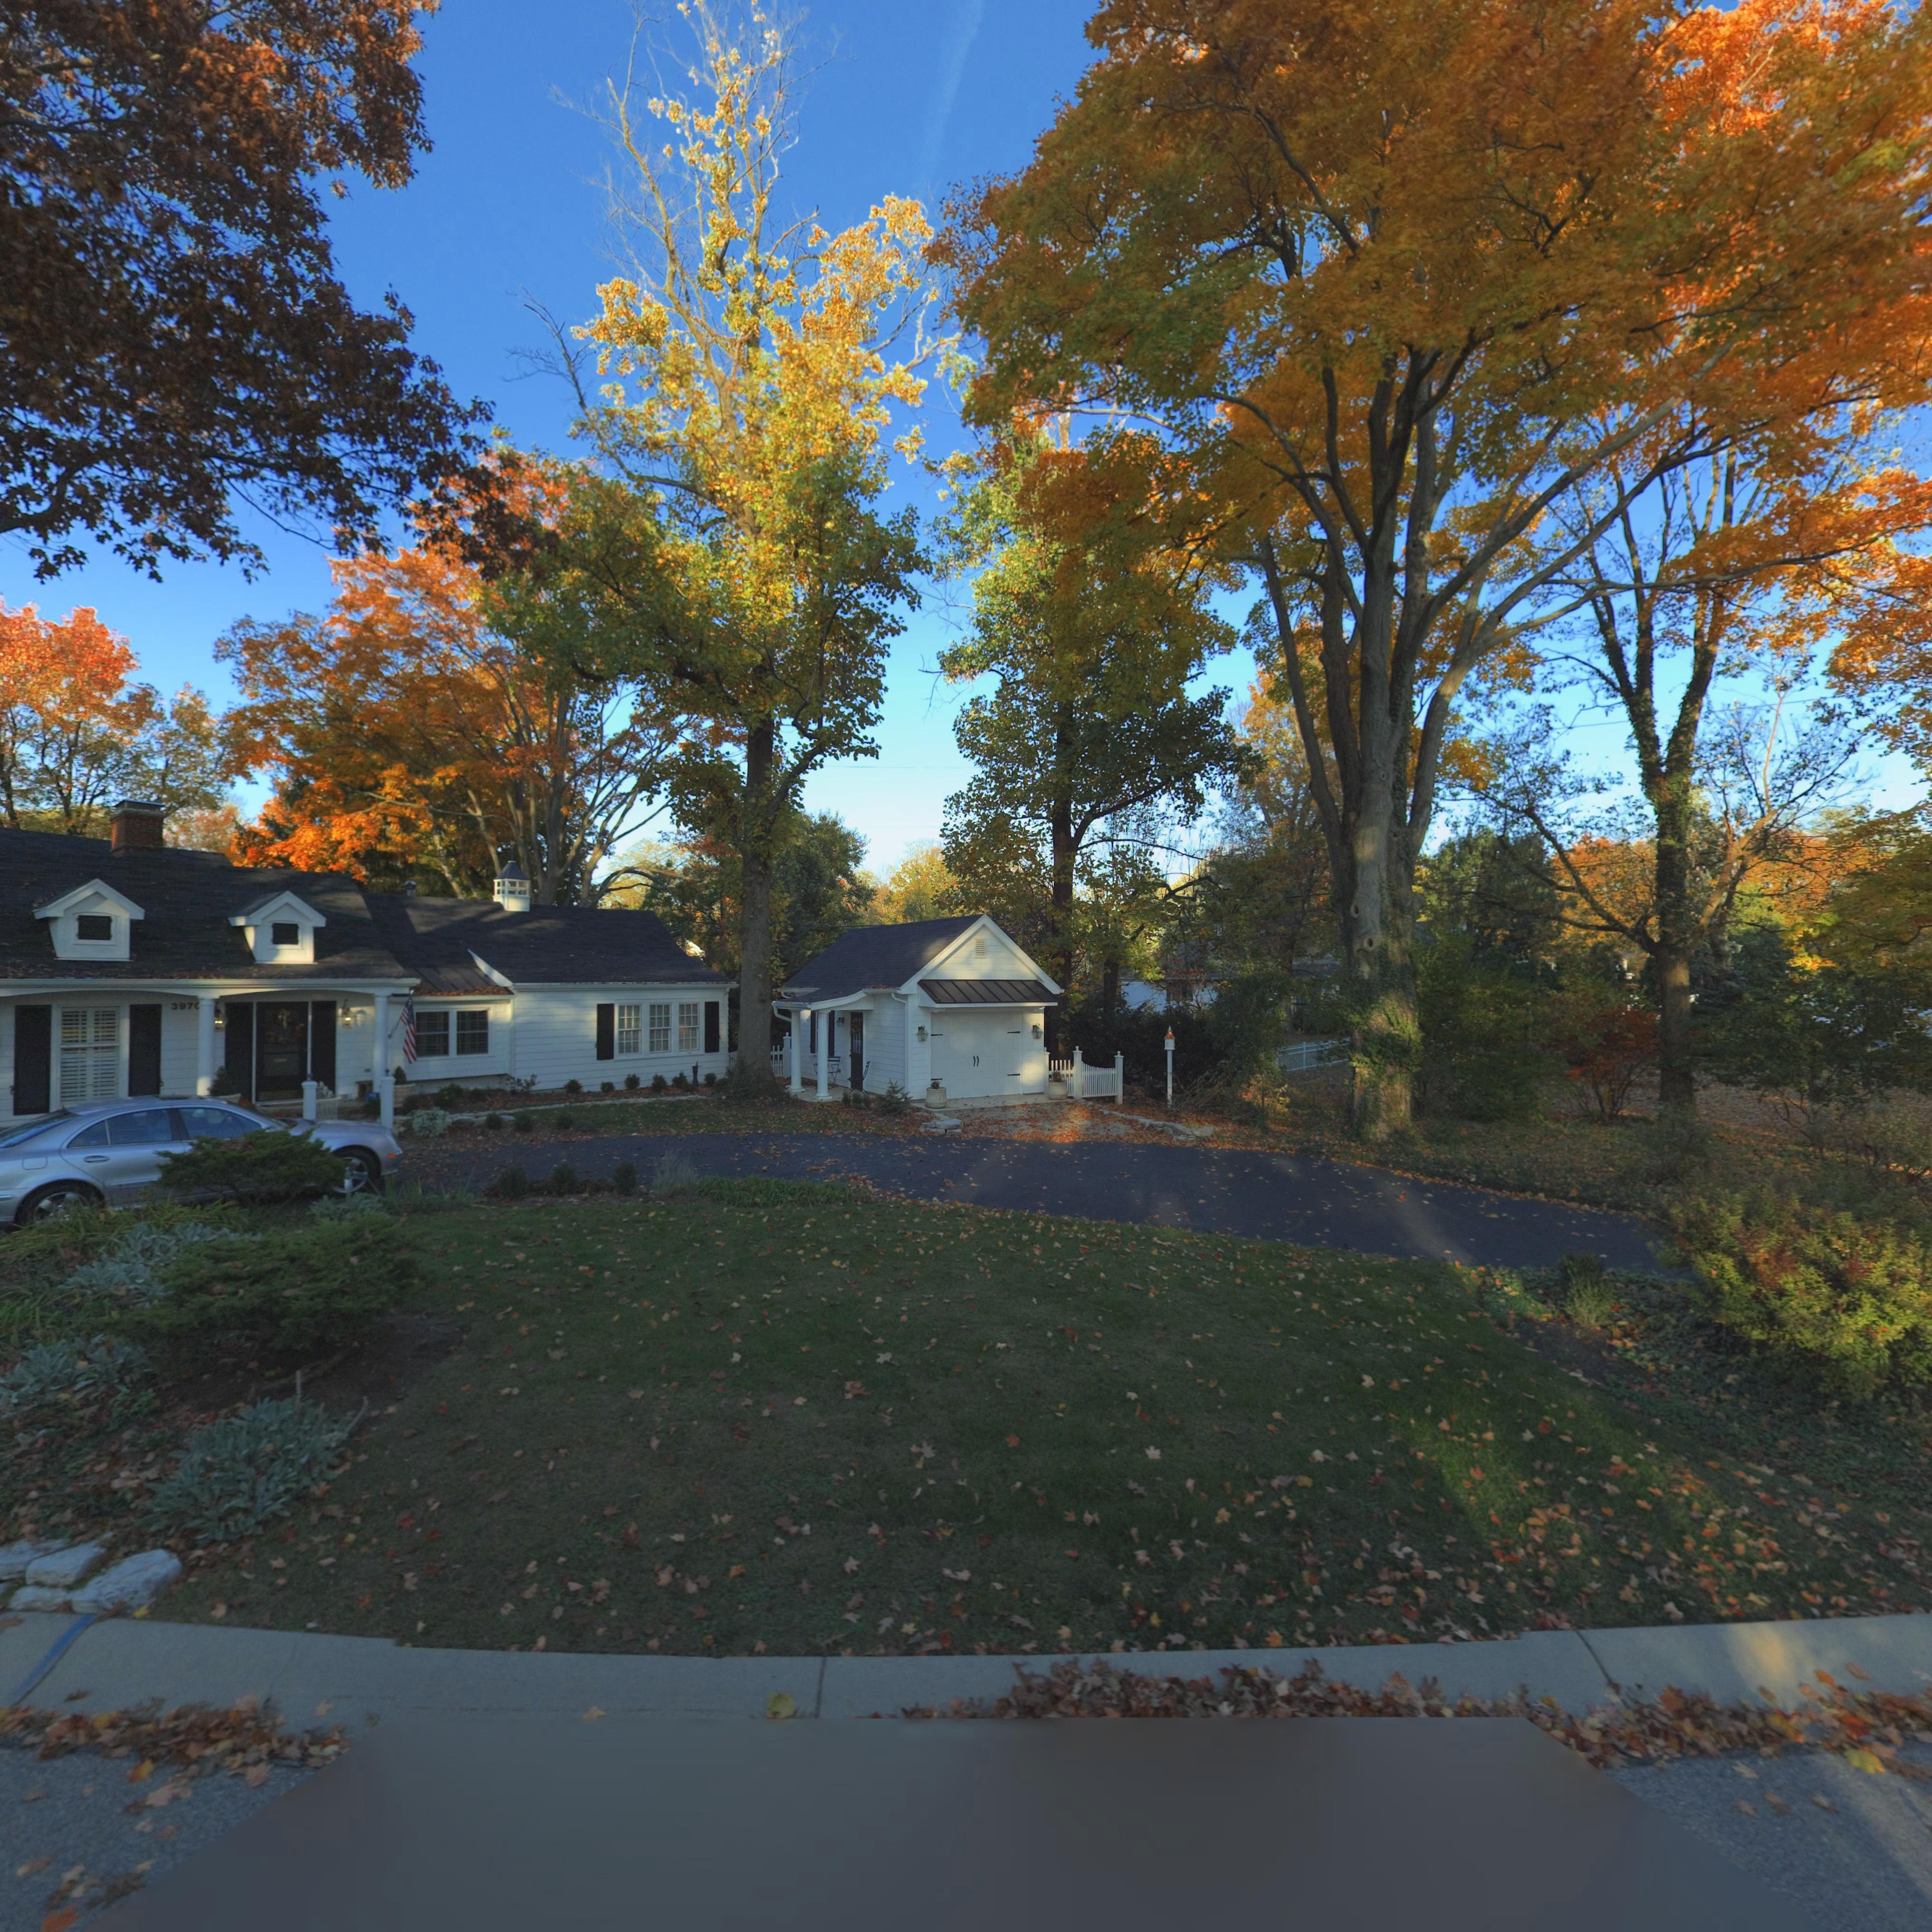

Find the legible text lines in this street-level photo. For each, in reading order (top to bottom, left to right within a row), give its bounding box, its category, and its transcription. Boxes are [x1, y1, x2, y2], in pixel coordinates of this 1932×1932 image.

[170, 1001, 193, 1011] StreetNumber: 397